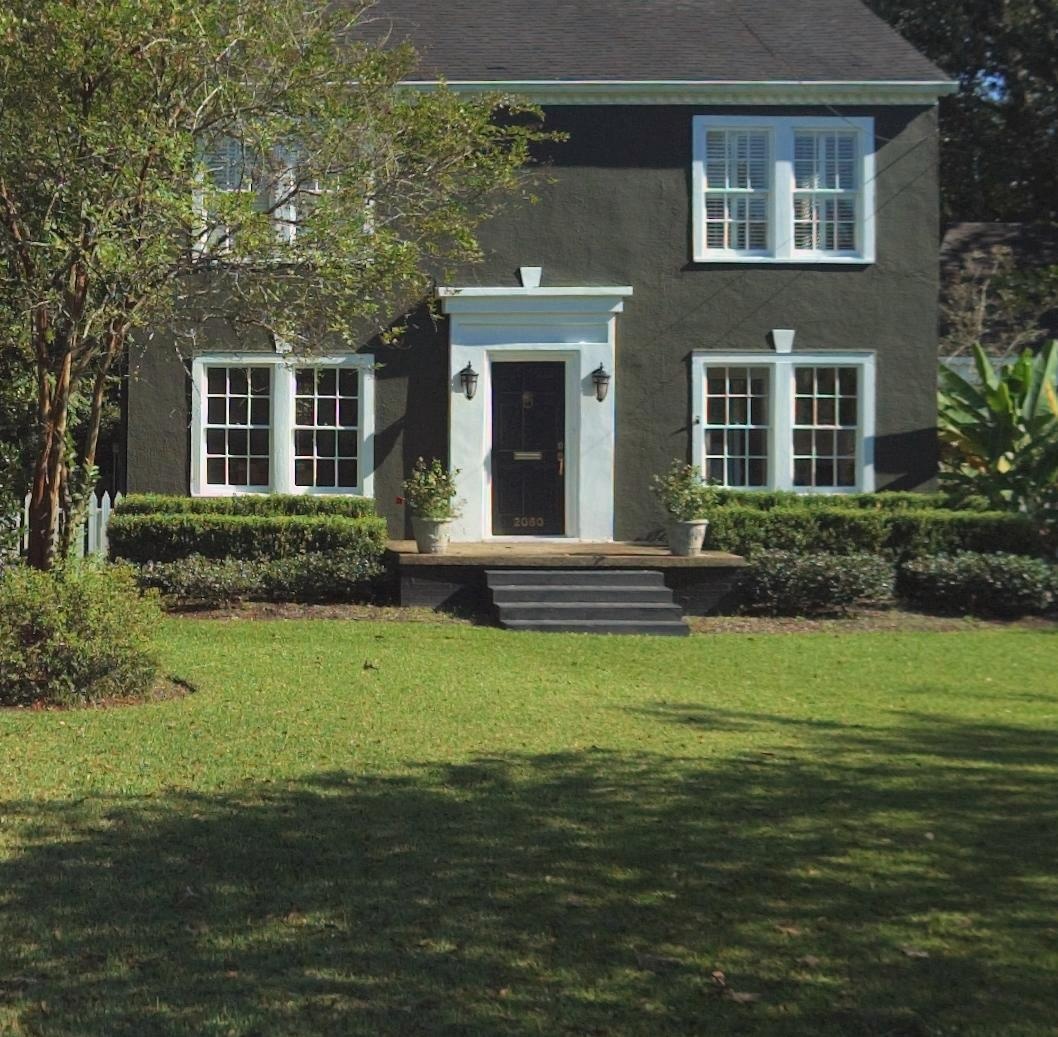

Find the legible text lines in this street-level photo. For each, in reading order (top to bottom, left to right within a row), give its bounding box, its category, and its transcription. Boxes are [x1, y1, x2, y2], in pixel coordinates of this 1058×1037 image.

[511, 515, 546, 529] StreetNumber: 2060